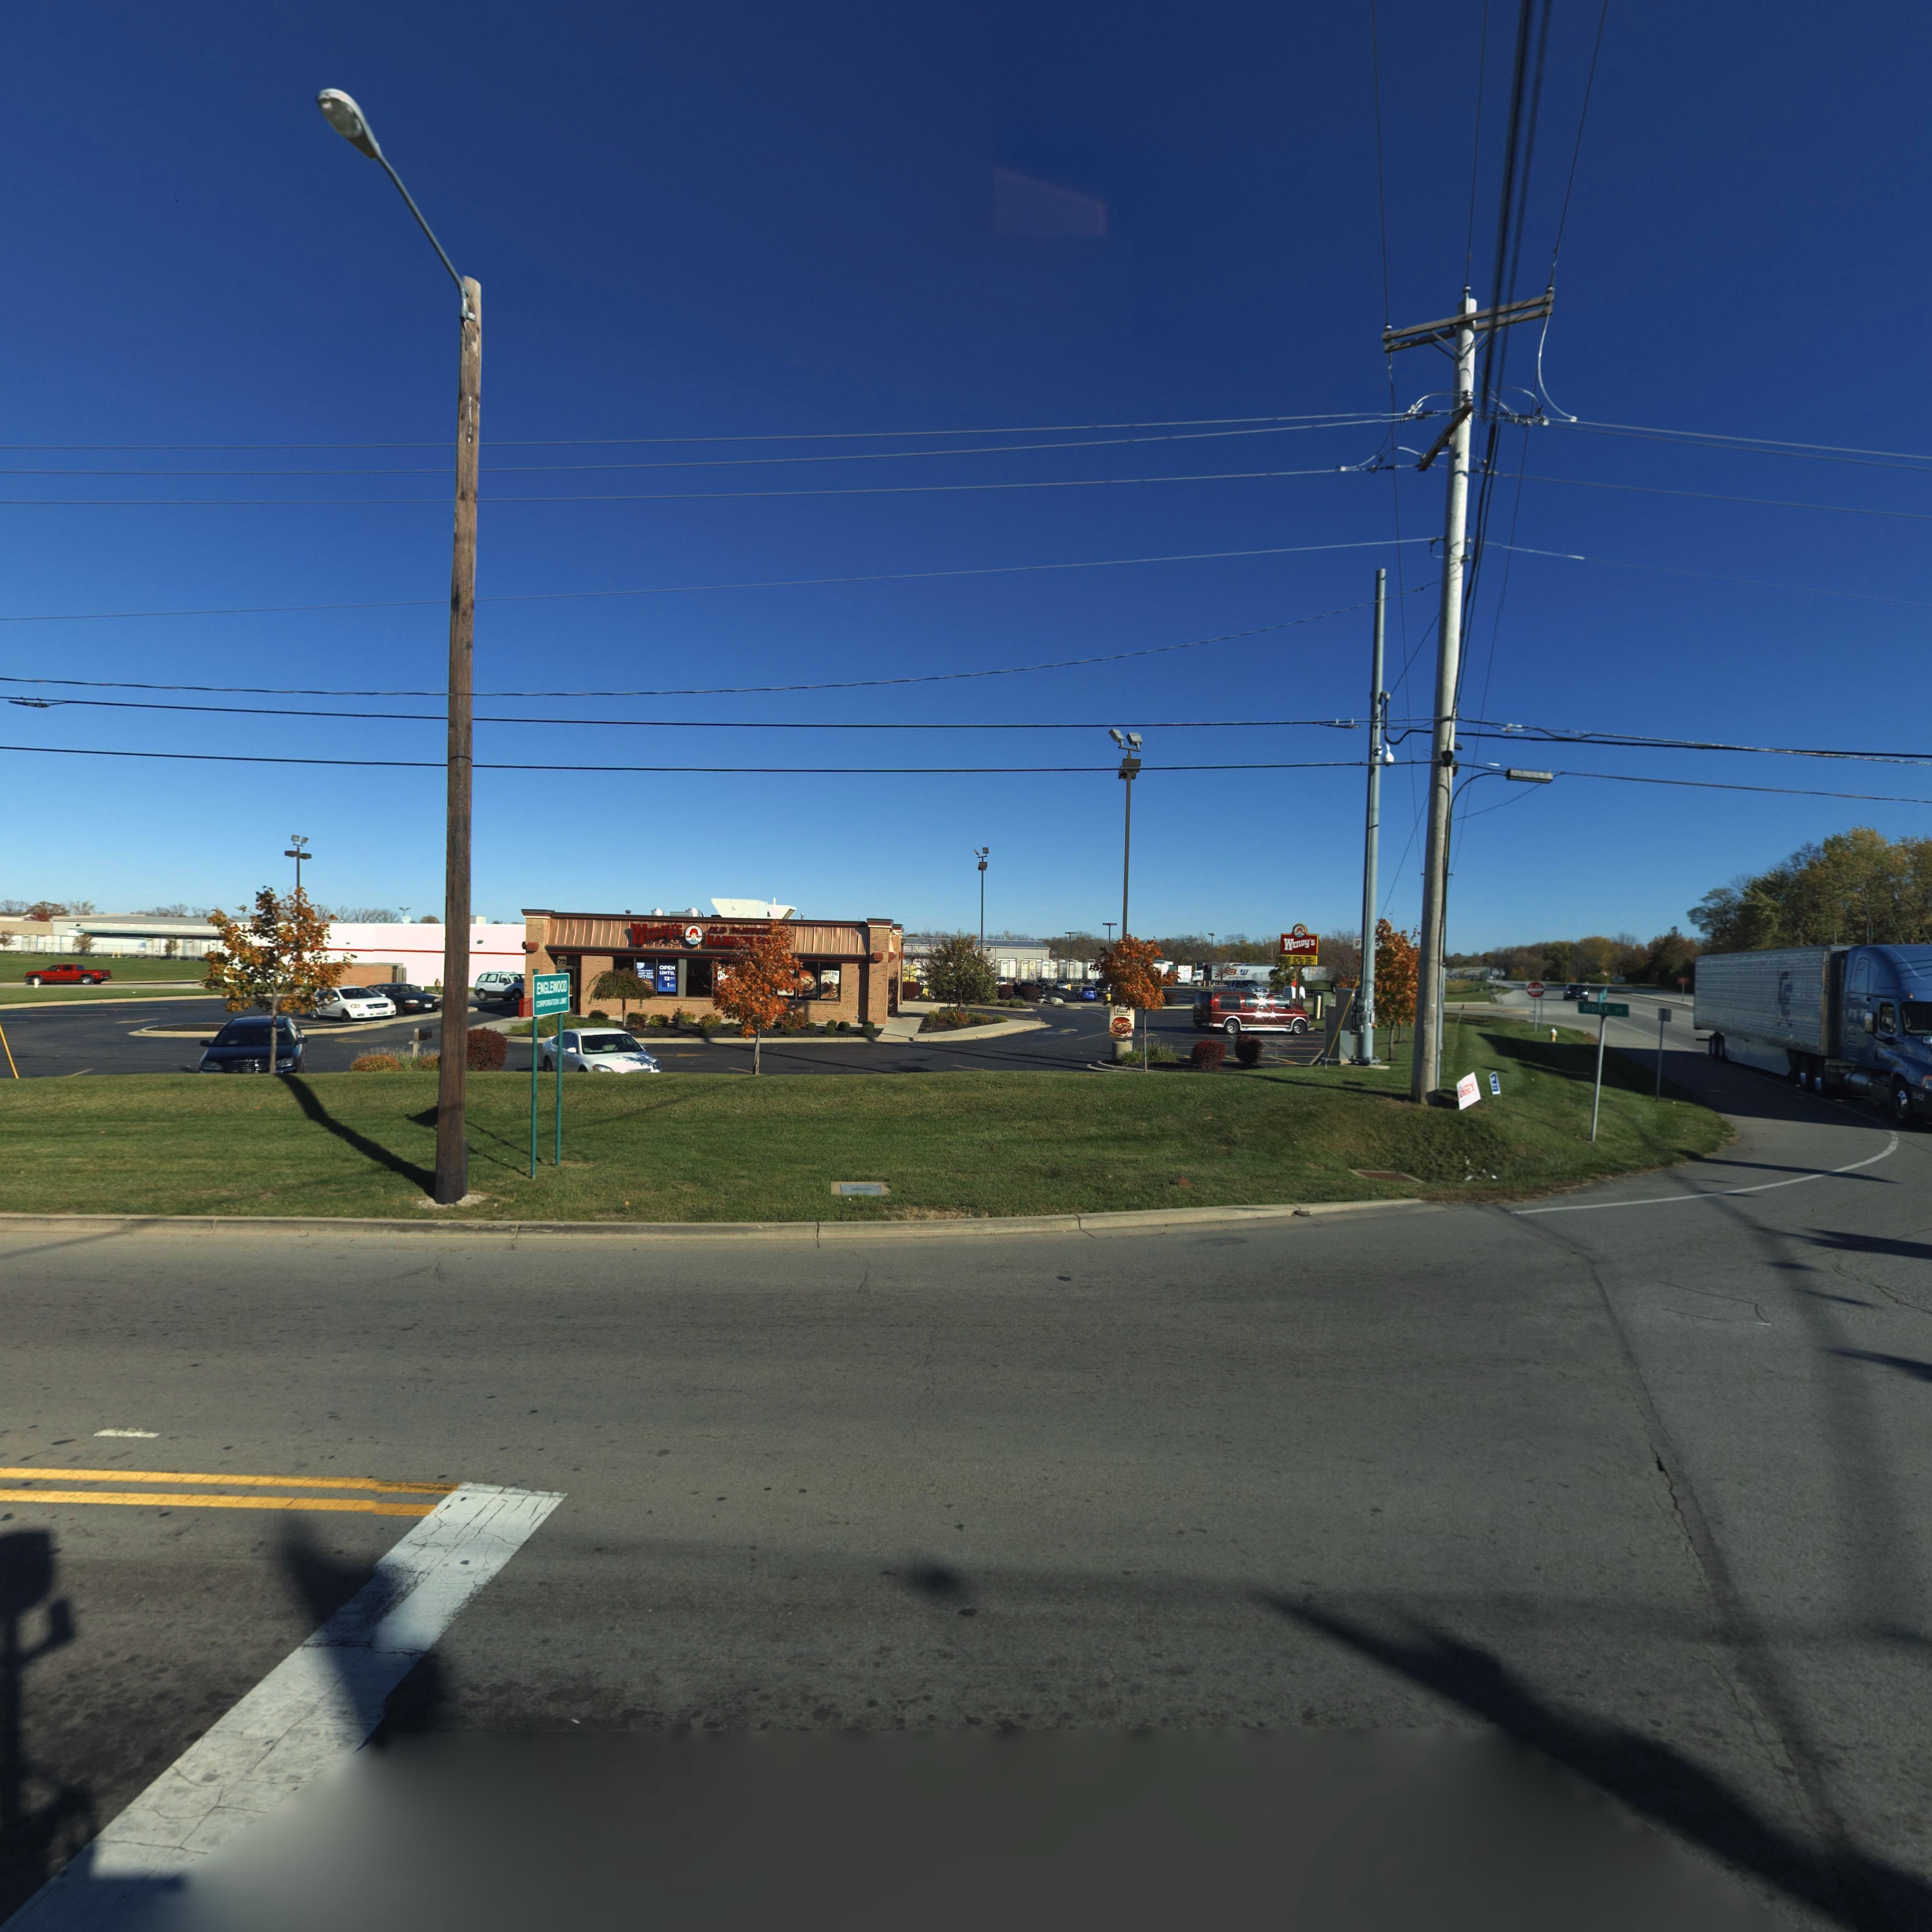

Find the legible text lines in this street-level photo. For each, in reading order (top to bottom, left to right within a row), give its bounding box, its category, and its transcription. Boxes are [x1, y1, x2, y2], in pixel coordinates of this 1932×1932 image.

[557, 958, 575, 965] StreetNumber: 7200